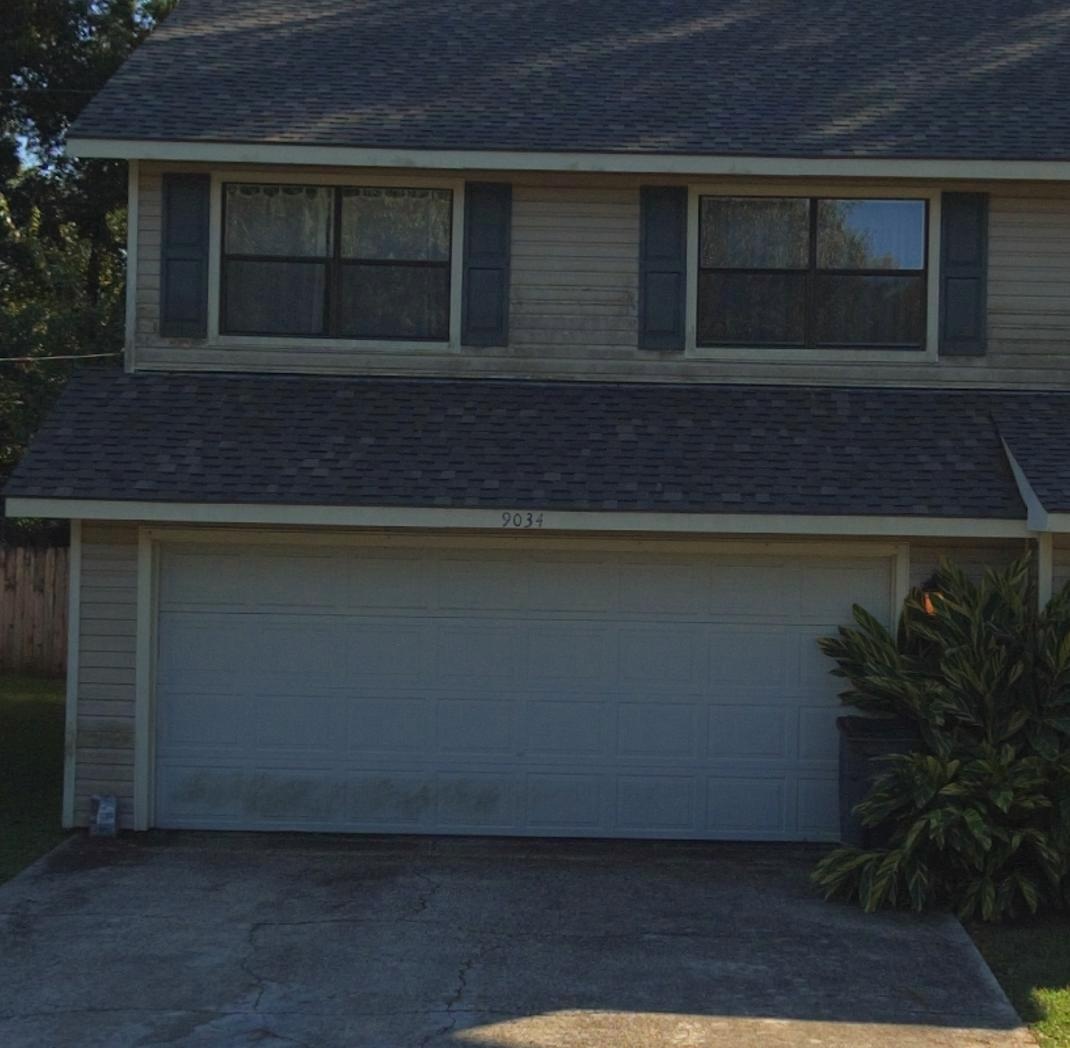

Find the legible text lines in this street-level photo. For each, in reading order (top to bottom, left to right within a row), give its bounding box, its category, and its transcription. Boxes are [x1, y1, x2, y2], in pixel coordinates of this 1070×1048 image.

[500, 511, 544, 528] StreetNumber: 9034